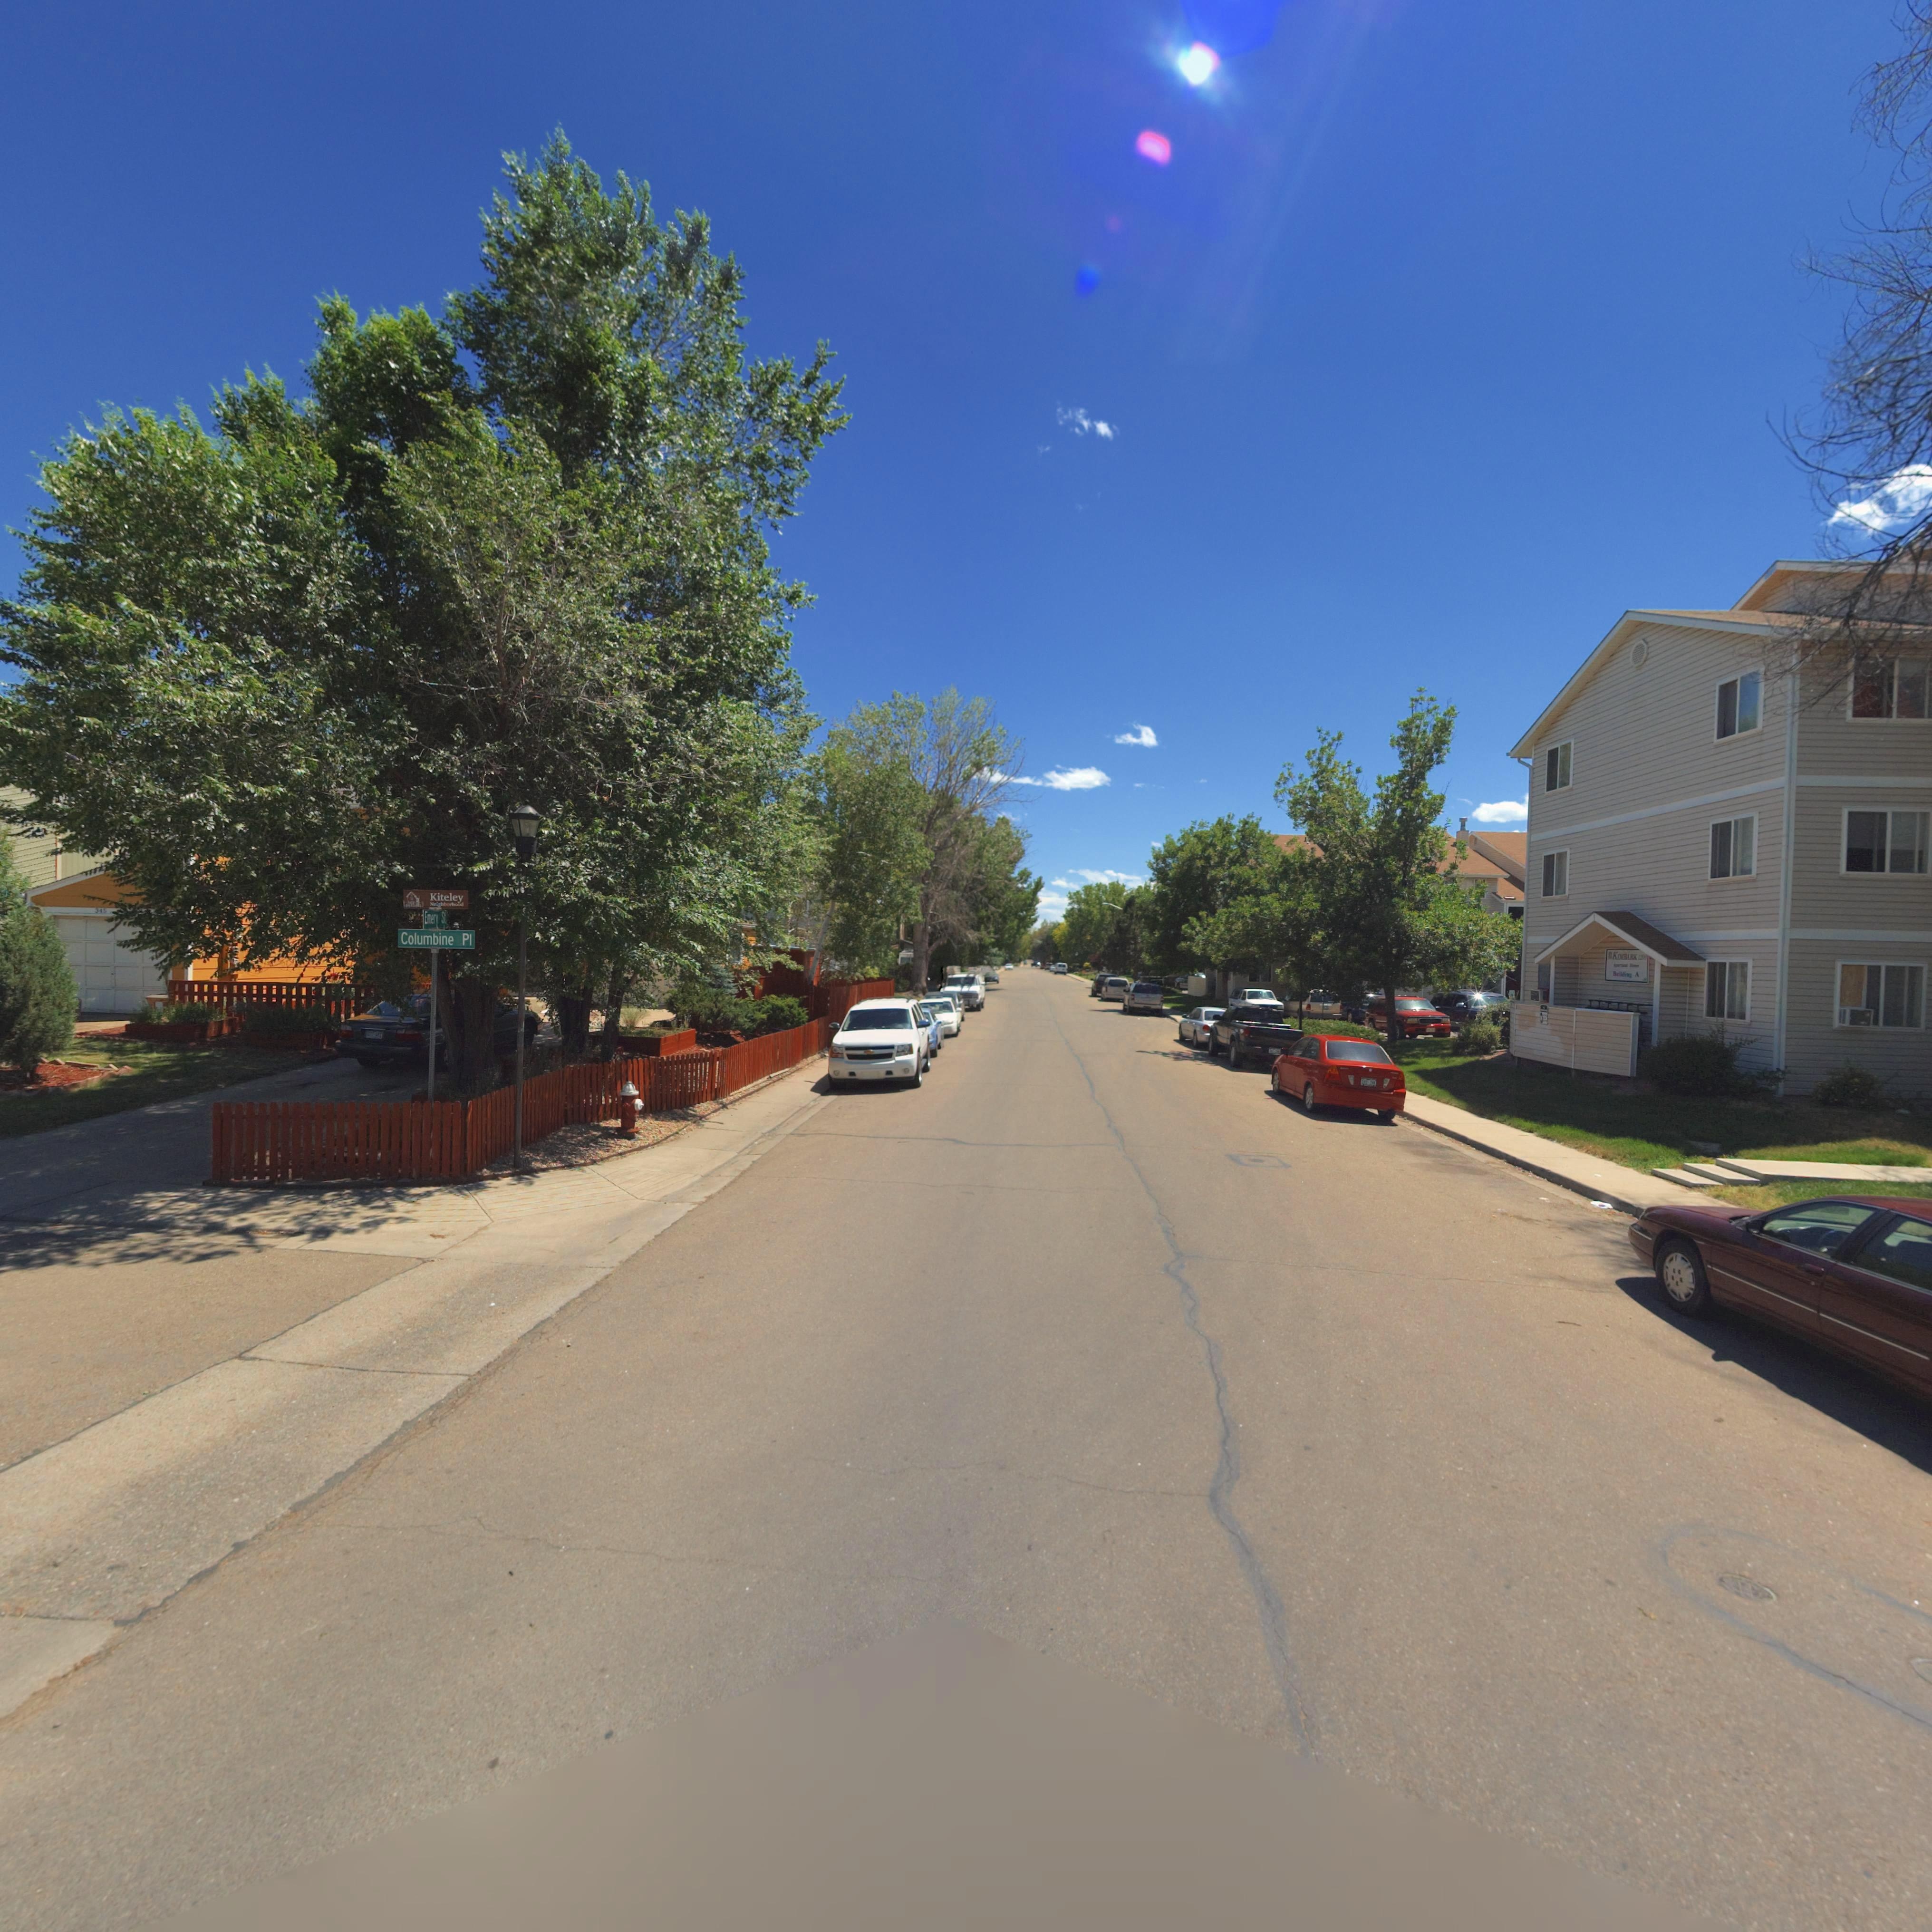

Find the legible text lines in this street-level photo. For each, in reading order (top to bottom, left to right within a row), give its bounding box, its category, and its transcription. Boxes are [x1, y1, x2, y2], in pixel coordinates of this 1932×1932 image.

[94, 907, 107, 913] StreetNumber: 345
[424, 910, 446, 927] StreetName: E*ery S*
[400, 931, 472, 946] StreetName: Columbine Pl
[1612, 951, 1638, 960] StreetName: KIMBARK
[1613, 970, 1640, 979] SecondaryUnitDesignator: Buildin* A